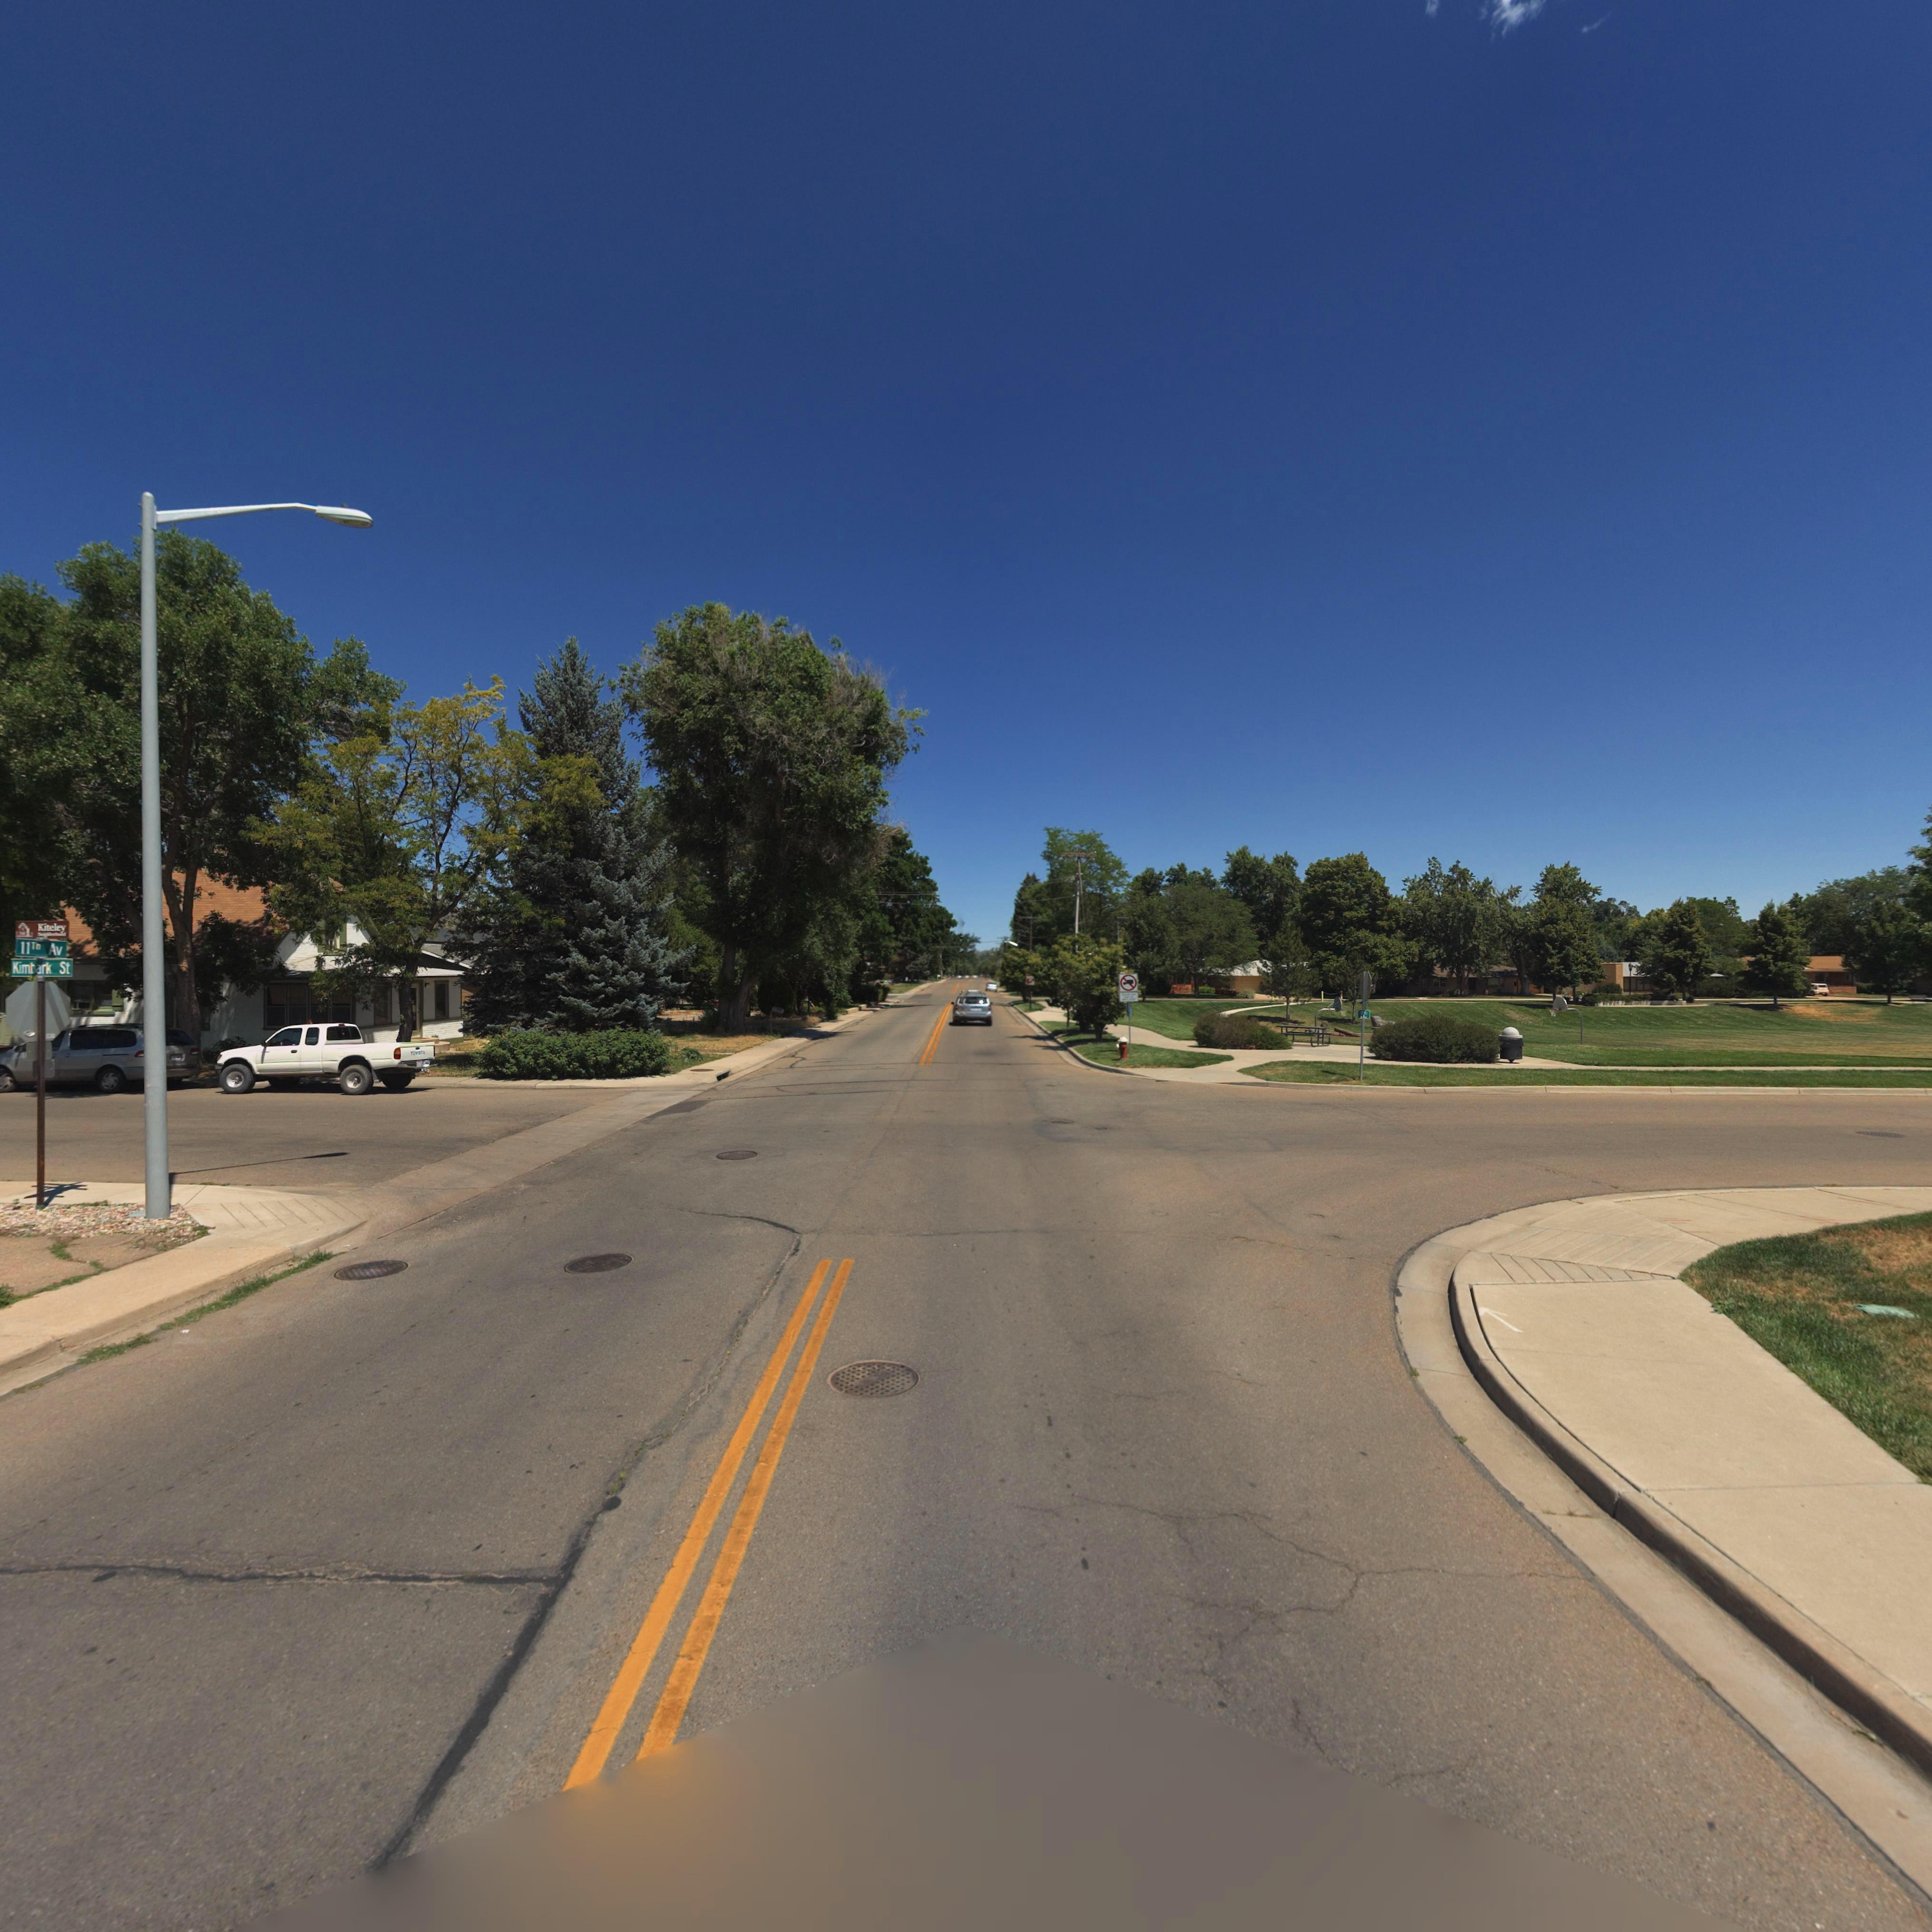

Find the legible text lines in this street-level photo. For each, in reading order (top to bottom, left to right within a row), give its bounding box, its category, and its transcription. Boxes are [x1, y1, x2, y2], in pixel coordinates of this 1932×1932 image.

[20, 941, 63, 956] StreetName: 11T* Av
[11, 960, 70, 975] StreetName: Kimbark St